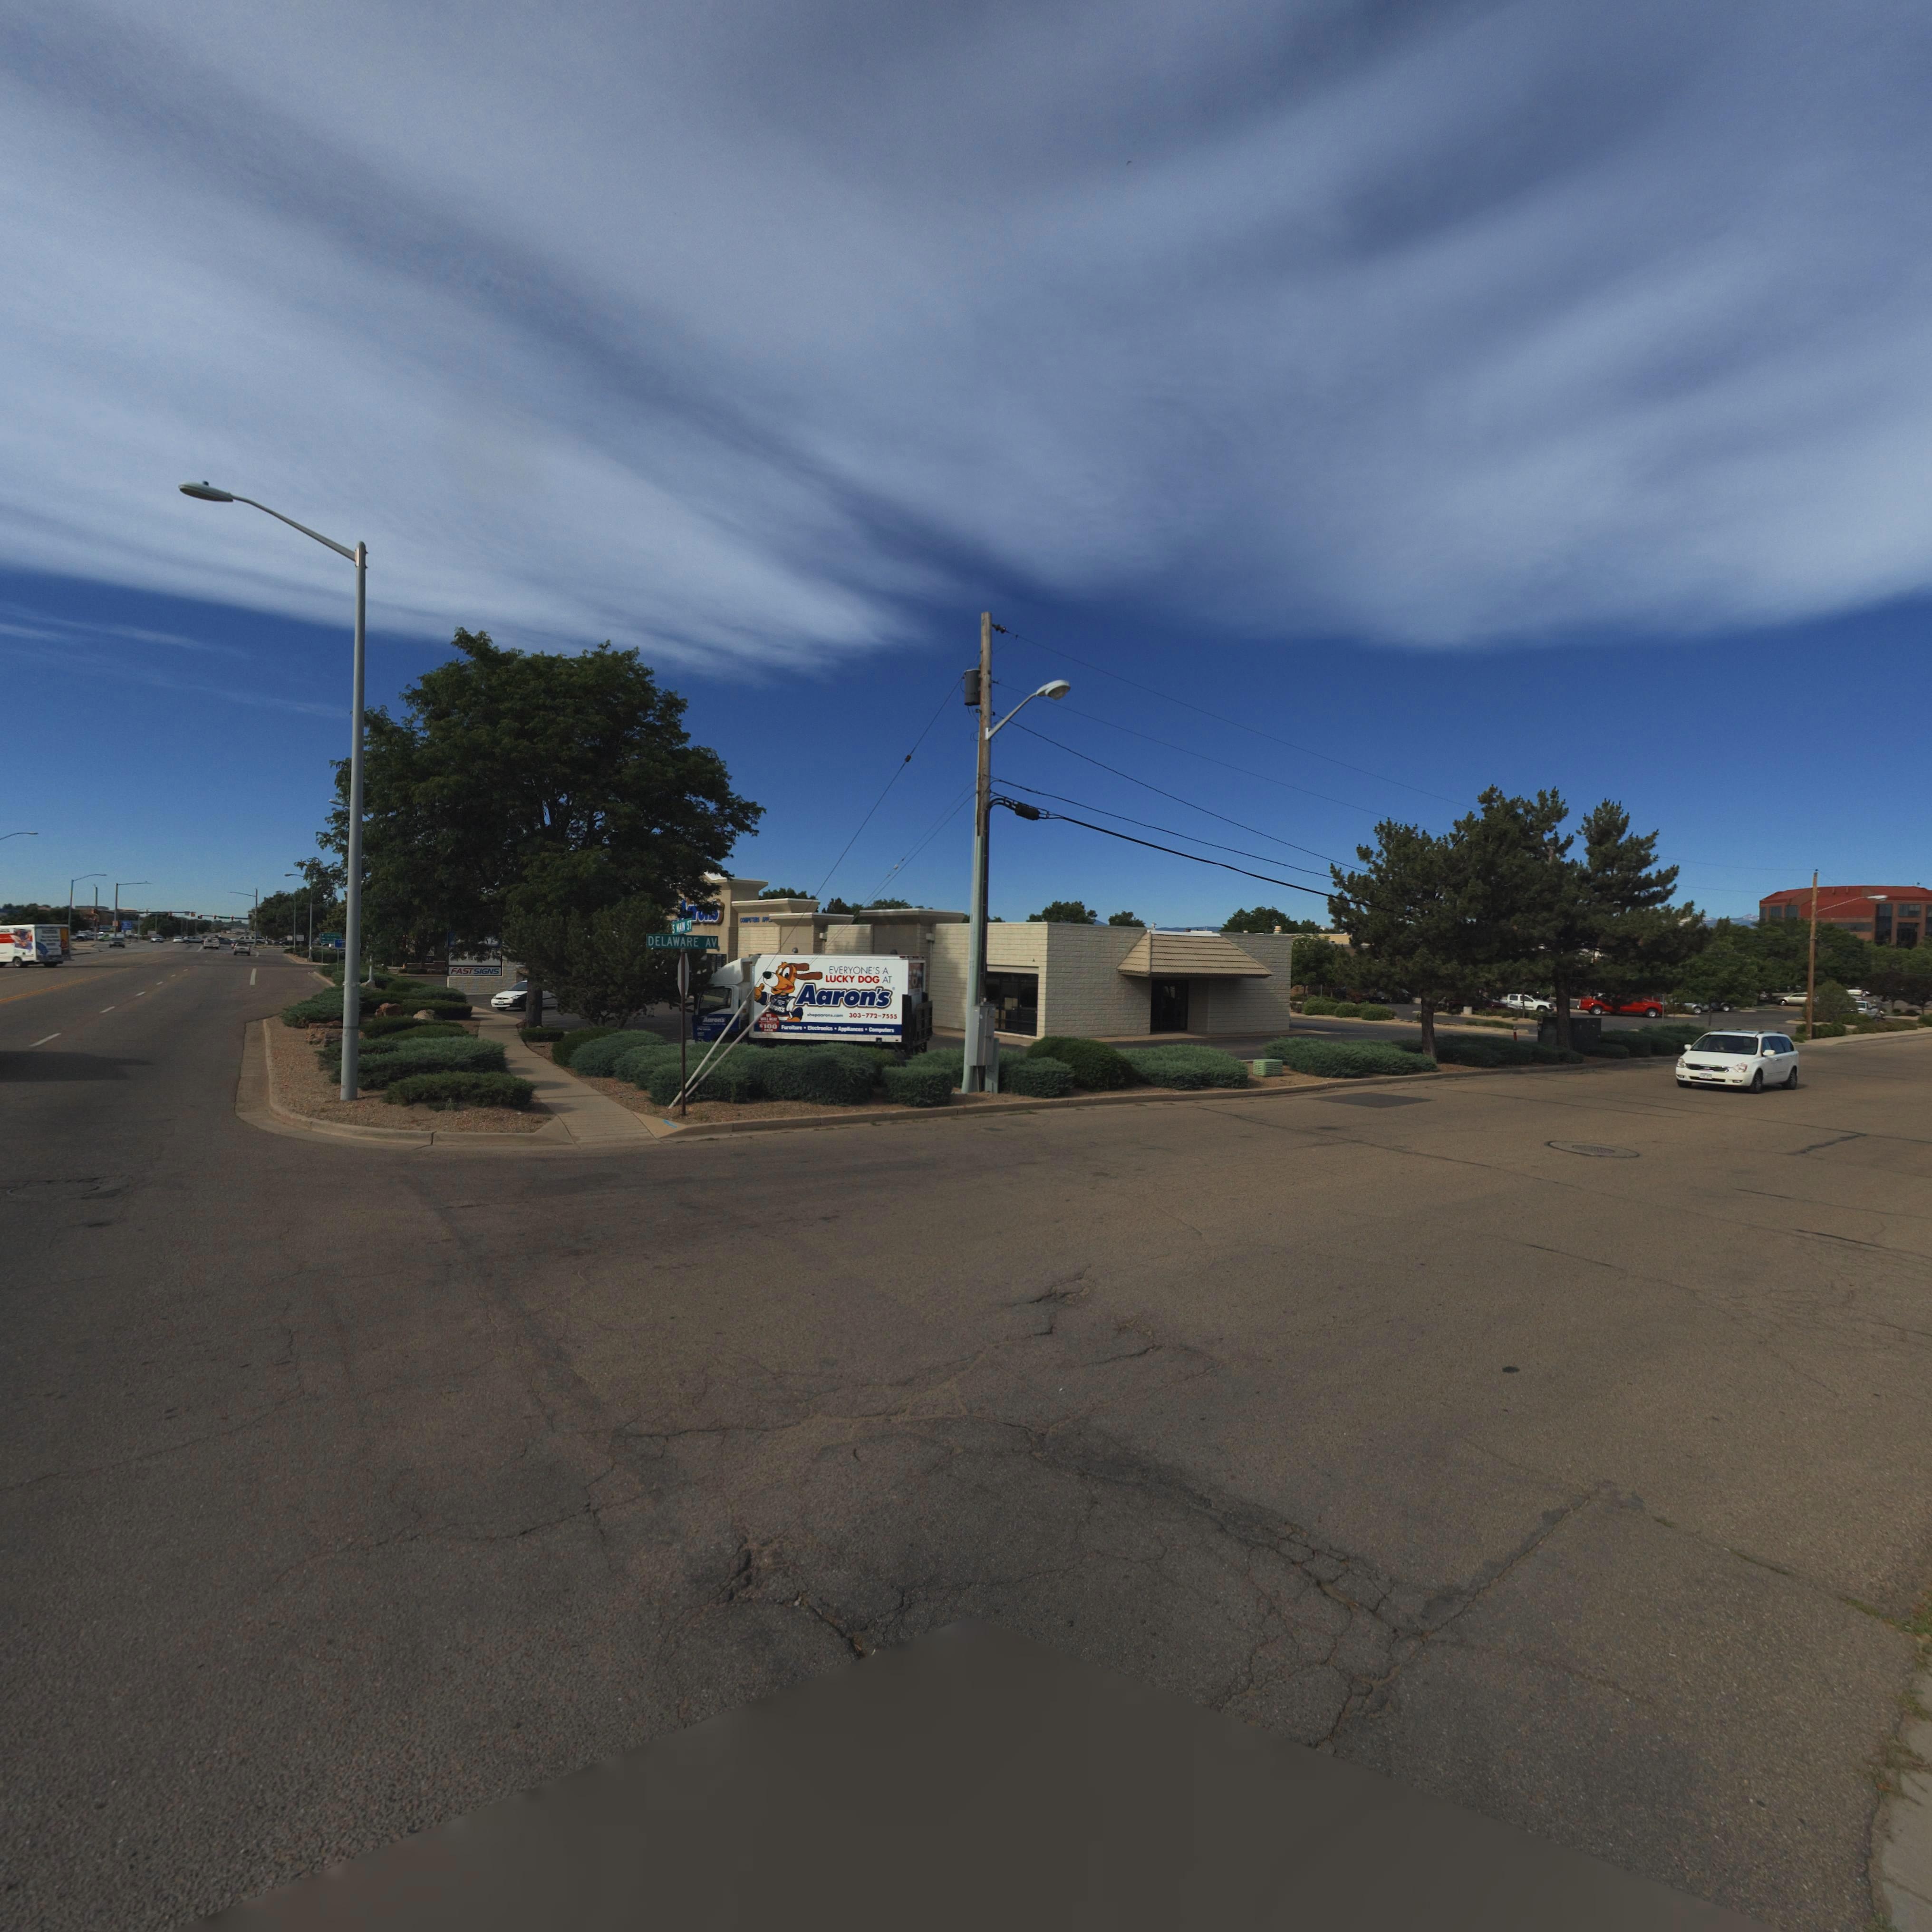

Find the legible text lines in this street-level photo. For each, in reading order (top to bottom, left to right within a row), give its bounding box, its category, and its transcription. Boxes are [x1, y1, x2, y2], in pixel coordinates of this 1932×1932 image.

[671, 918, 692, 934] StreetName: S MAIN ST
[647, 934, 718, 949] StreetName: Deleware AV
[450, 966, 500, 975] BusinessName: FAST SIGNS